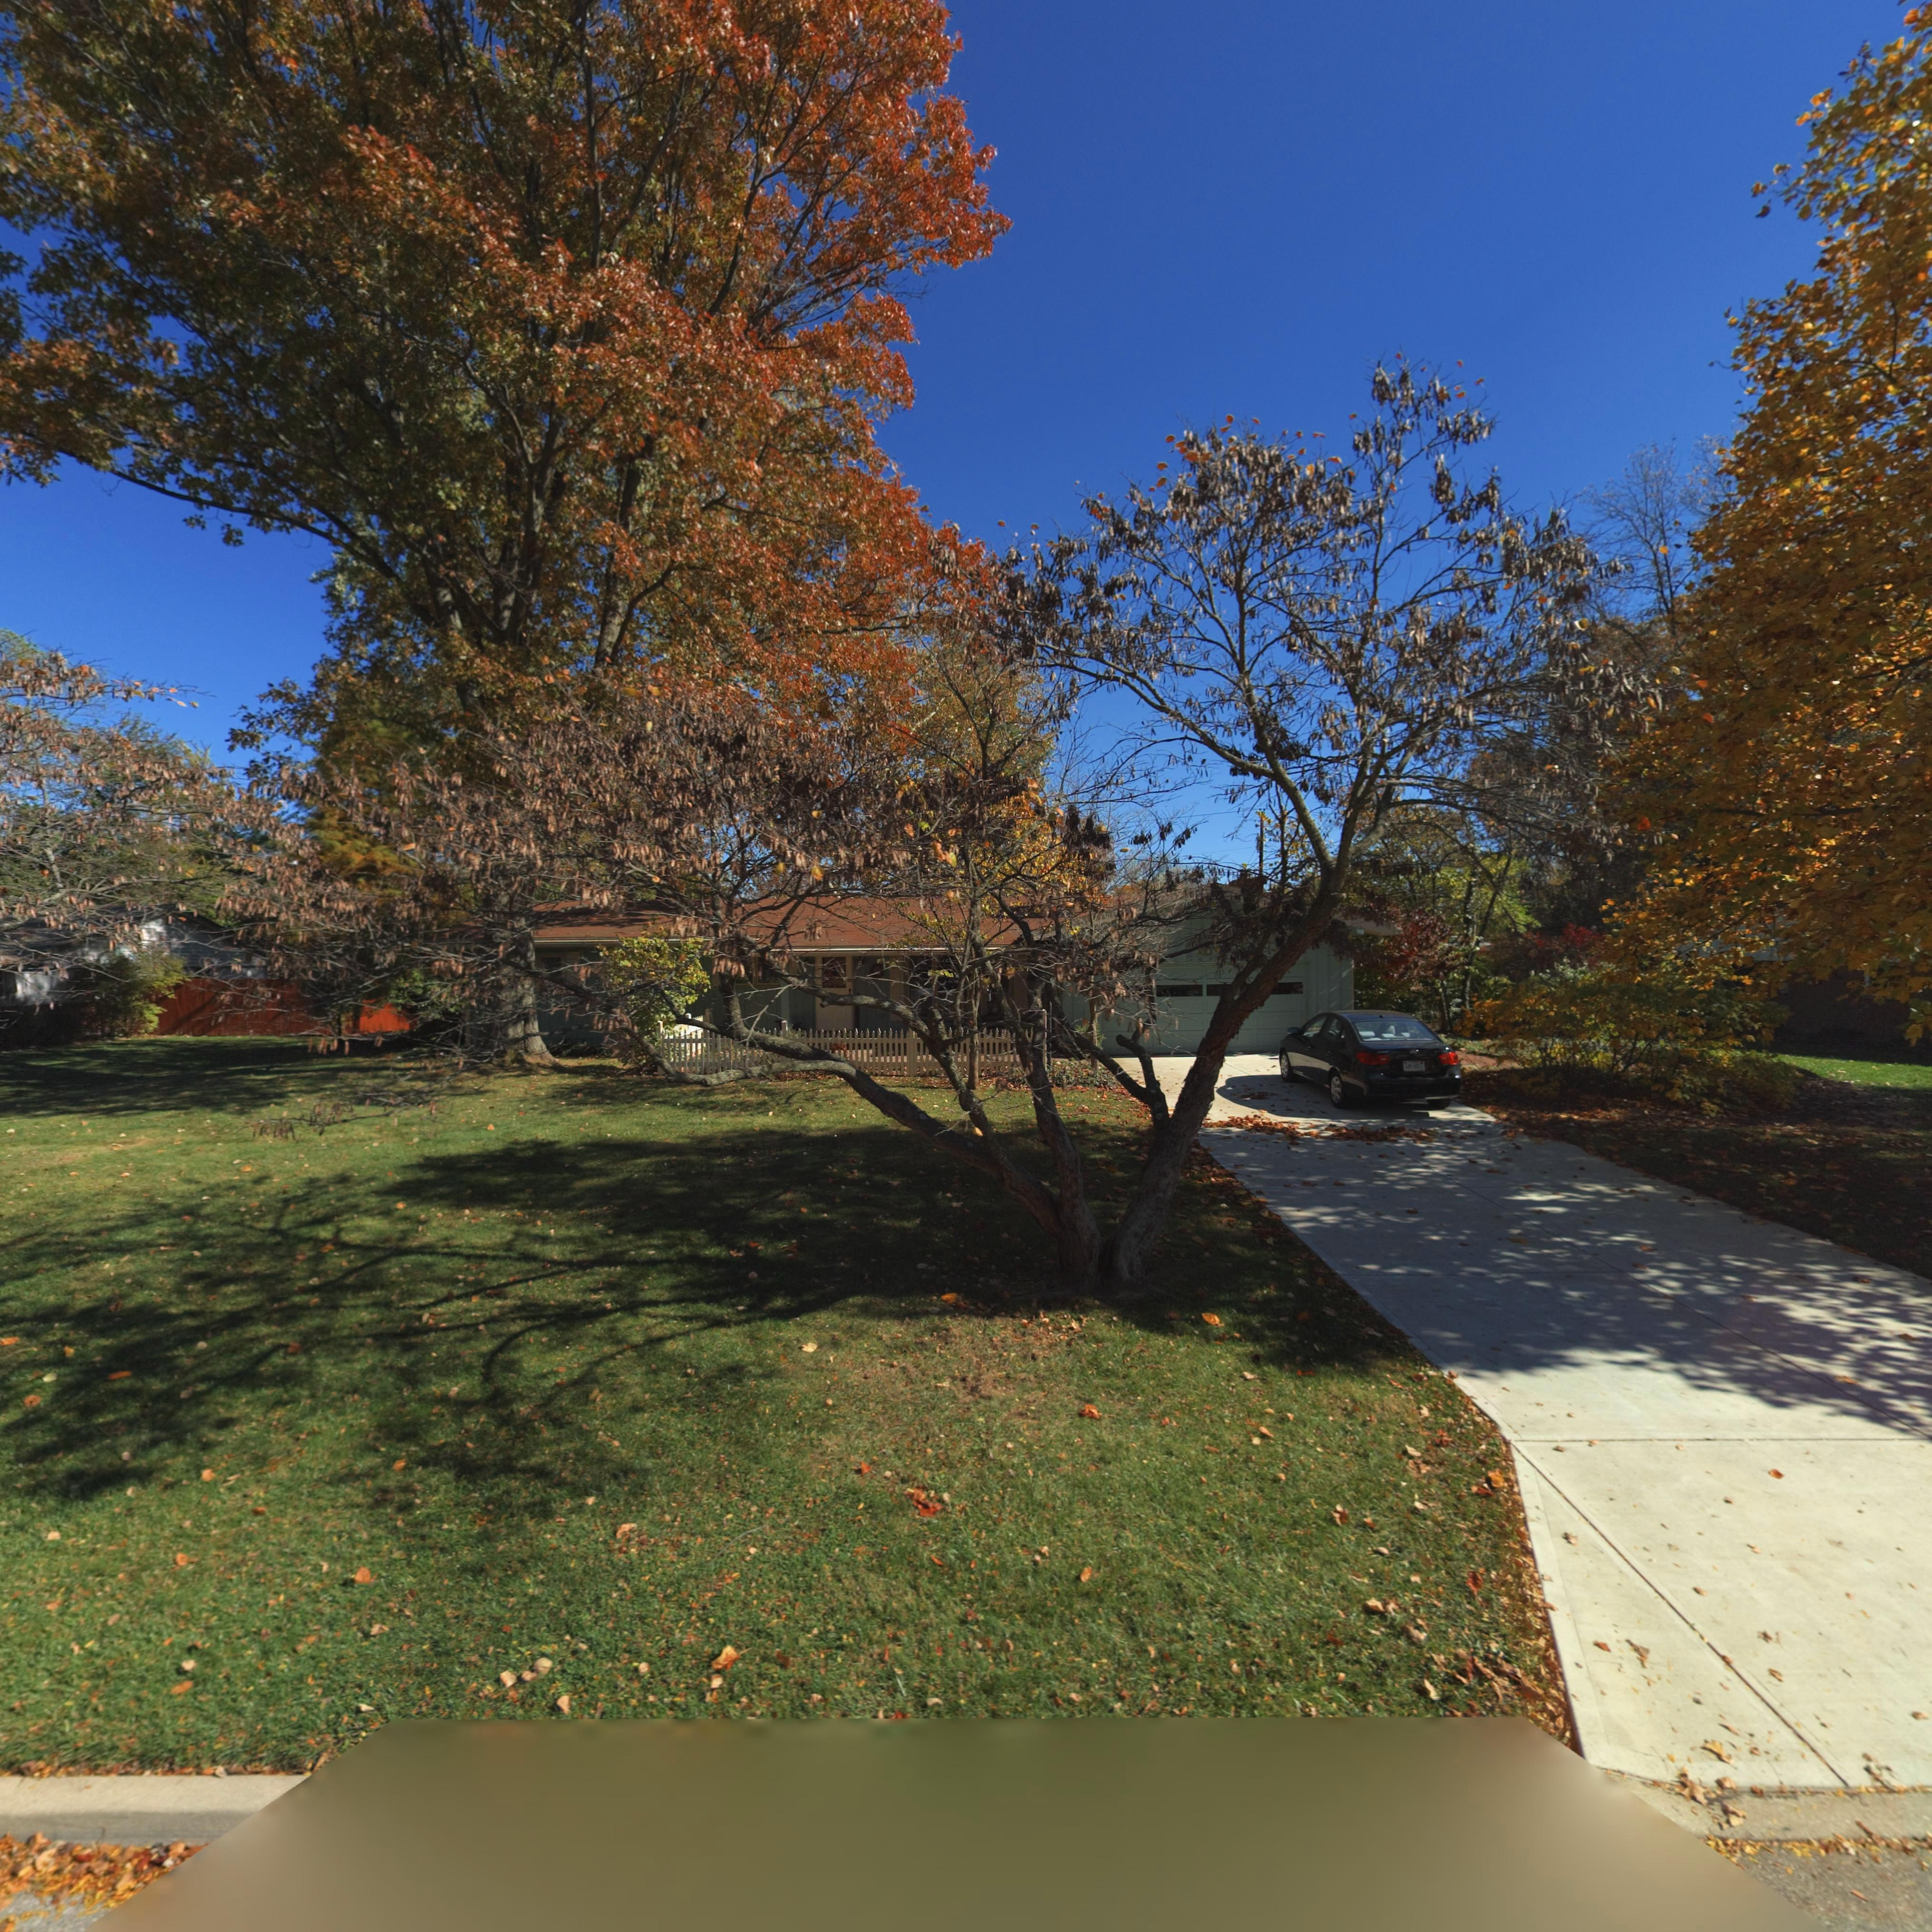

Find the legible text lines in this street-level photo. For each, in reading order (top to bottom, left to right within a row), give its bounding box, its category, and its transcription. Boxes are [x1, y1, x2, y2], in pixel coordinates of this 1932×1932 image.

[1187, 953, 1205, 963] StreetNumber: 60